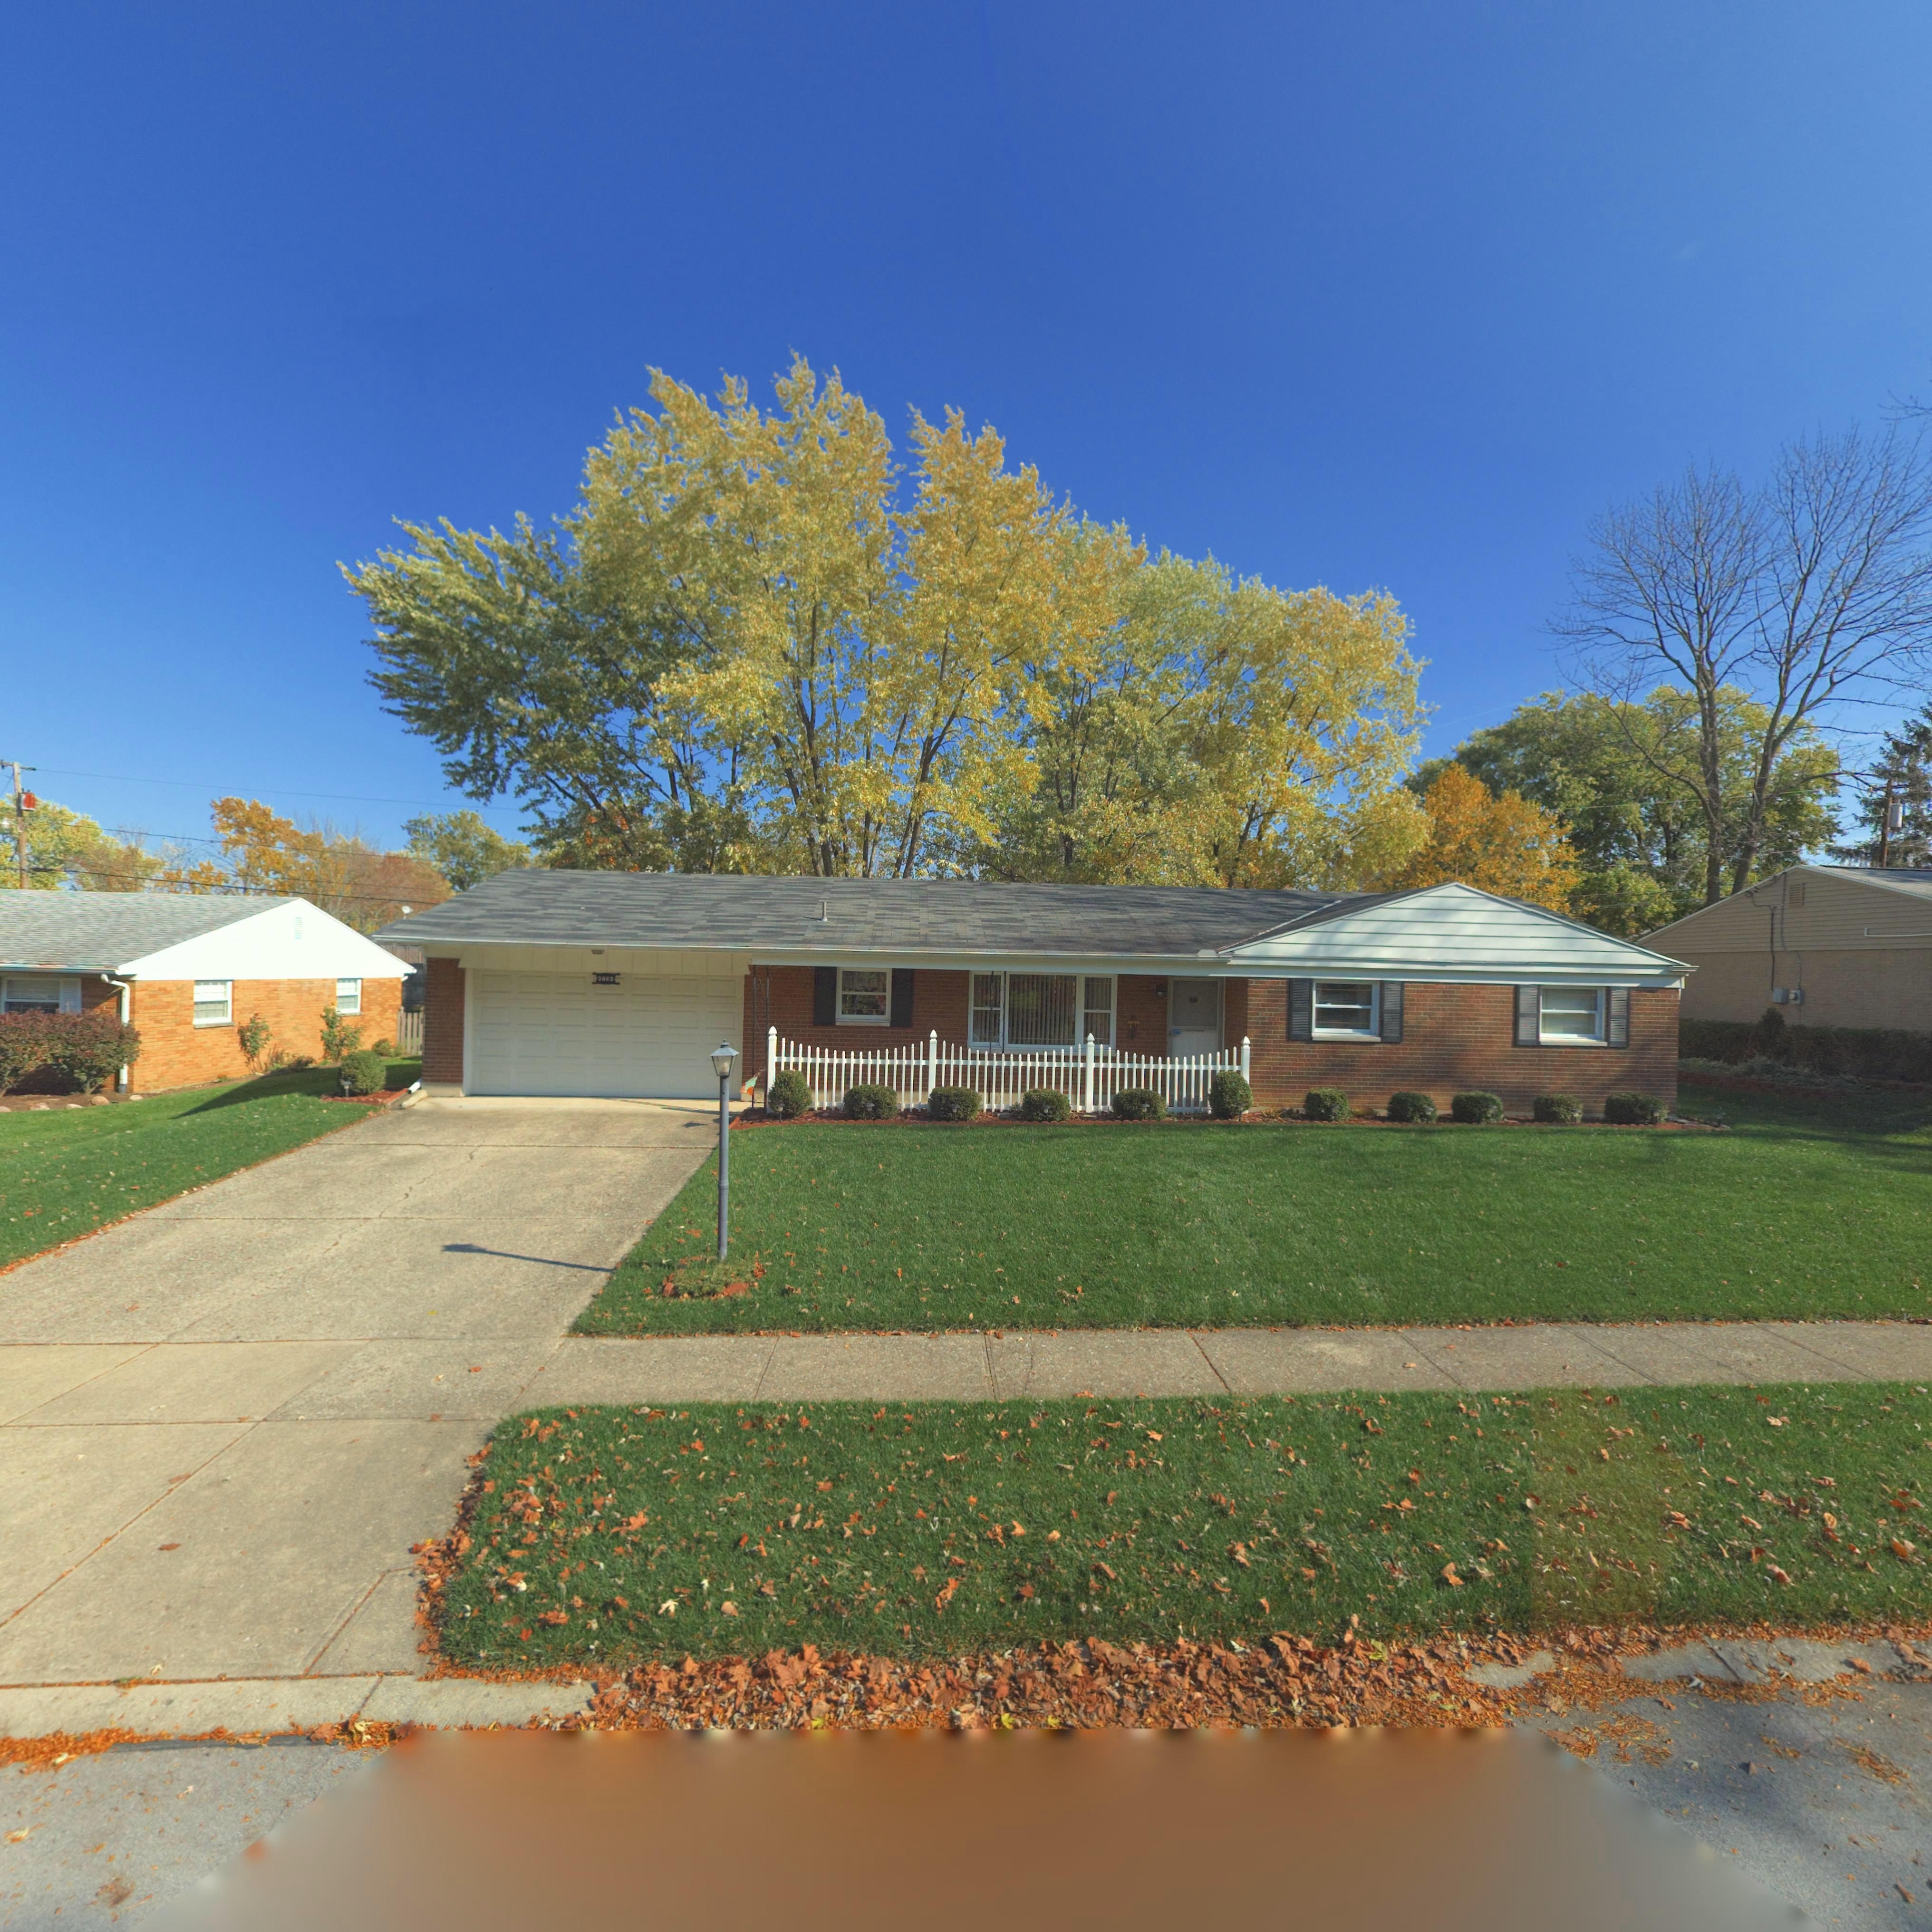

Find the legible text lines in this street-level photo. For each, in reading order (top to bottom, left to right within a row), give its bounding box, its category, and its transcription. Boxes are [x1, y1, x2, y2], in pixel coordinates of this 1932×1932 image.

[596, 975, 615, 983] StreetNumber: 3662